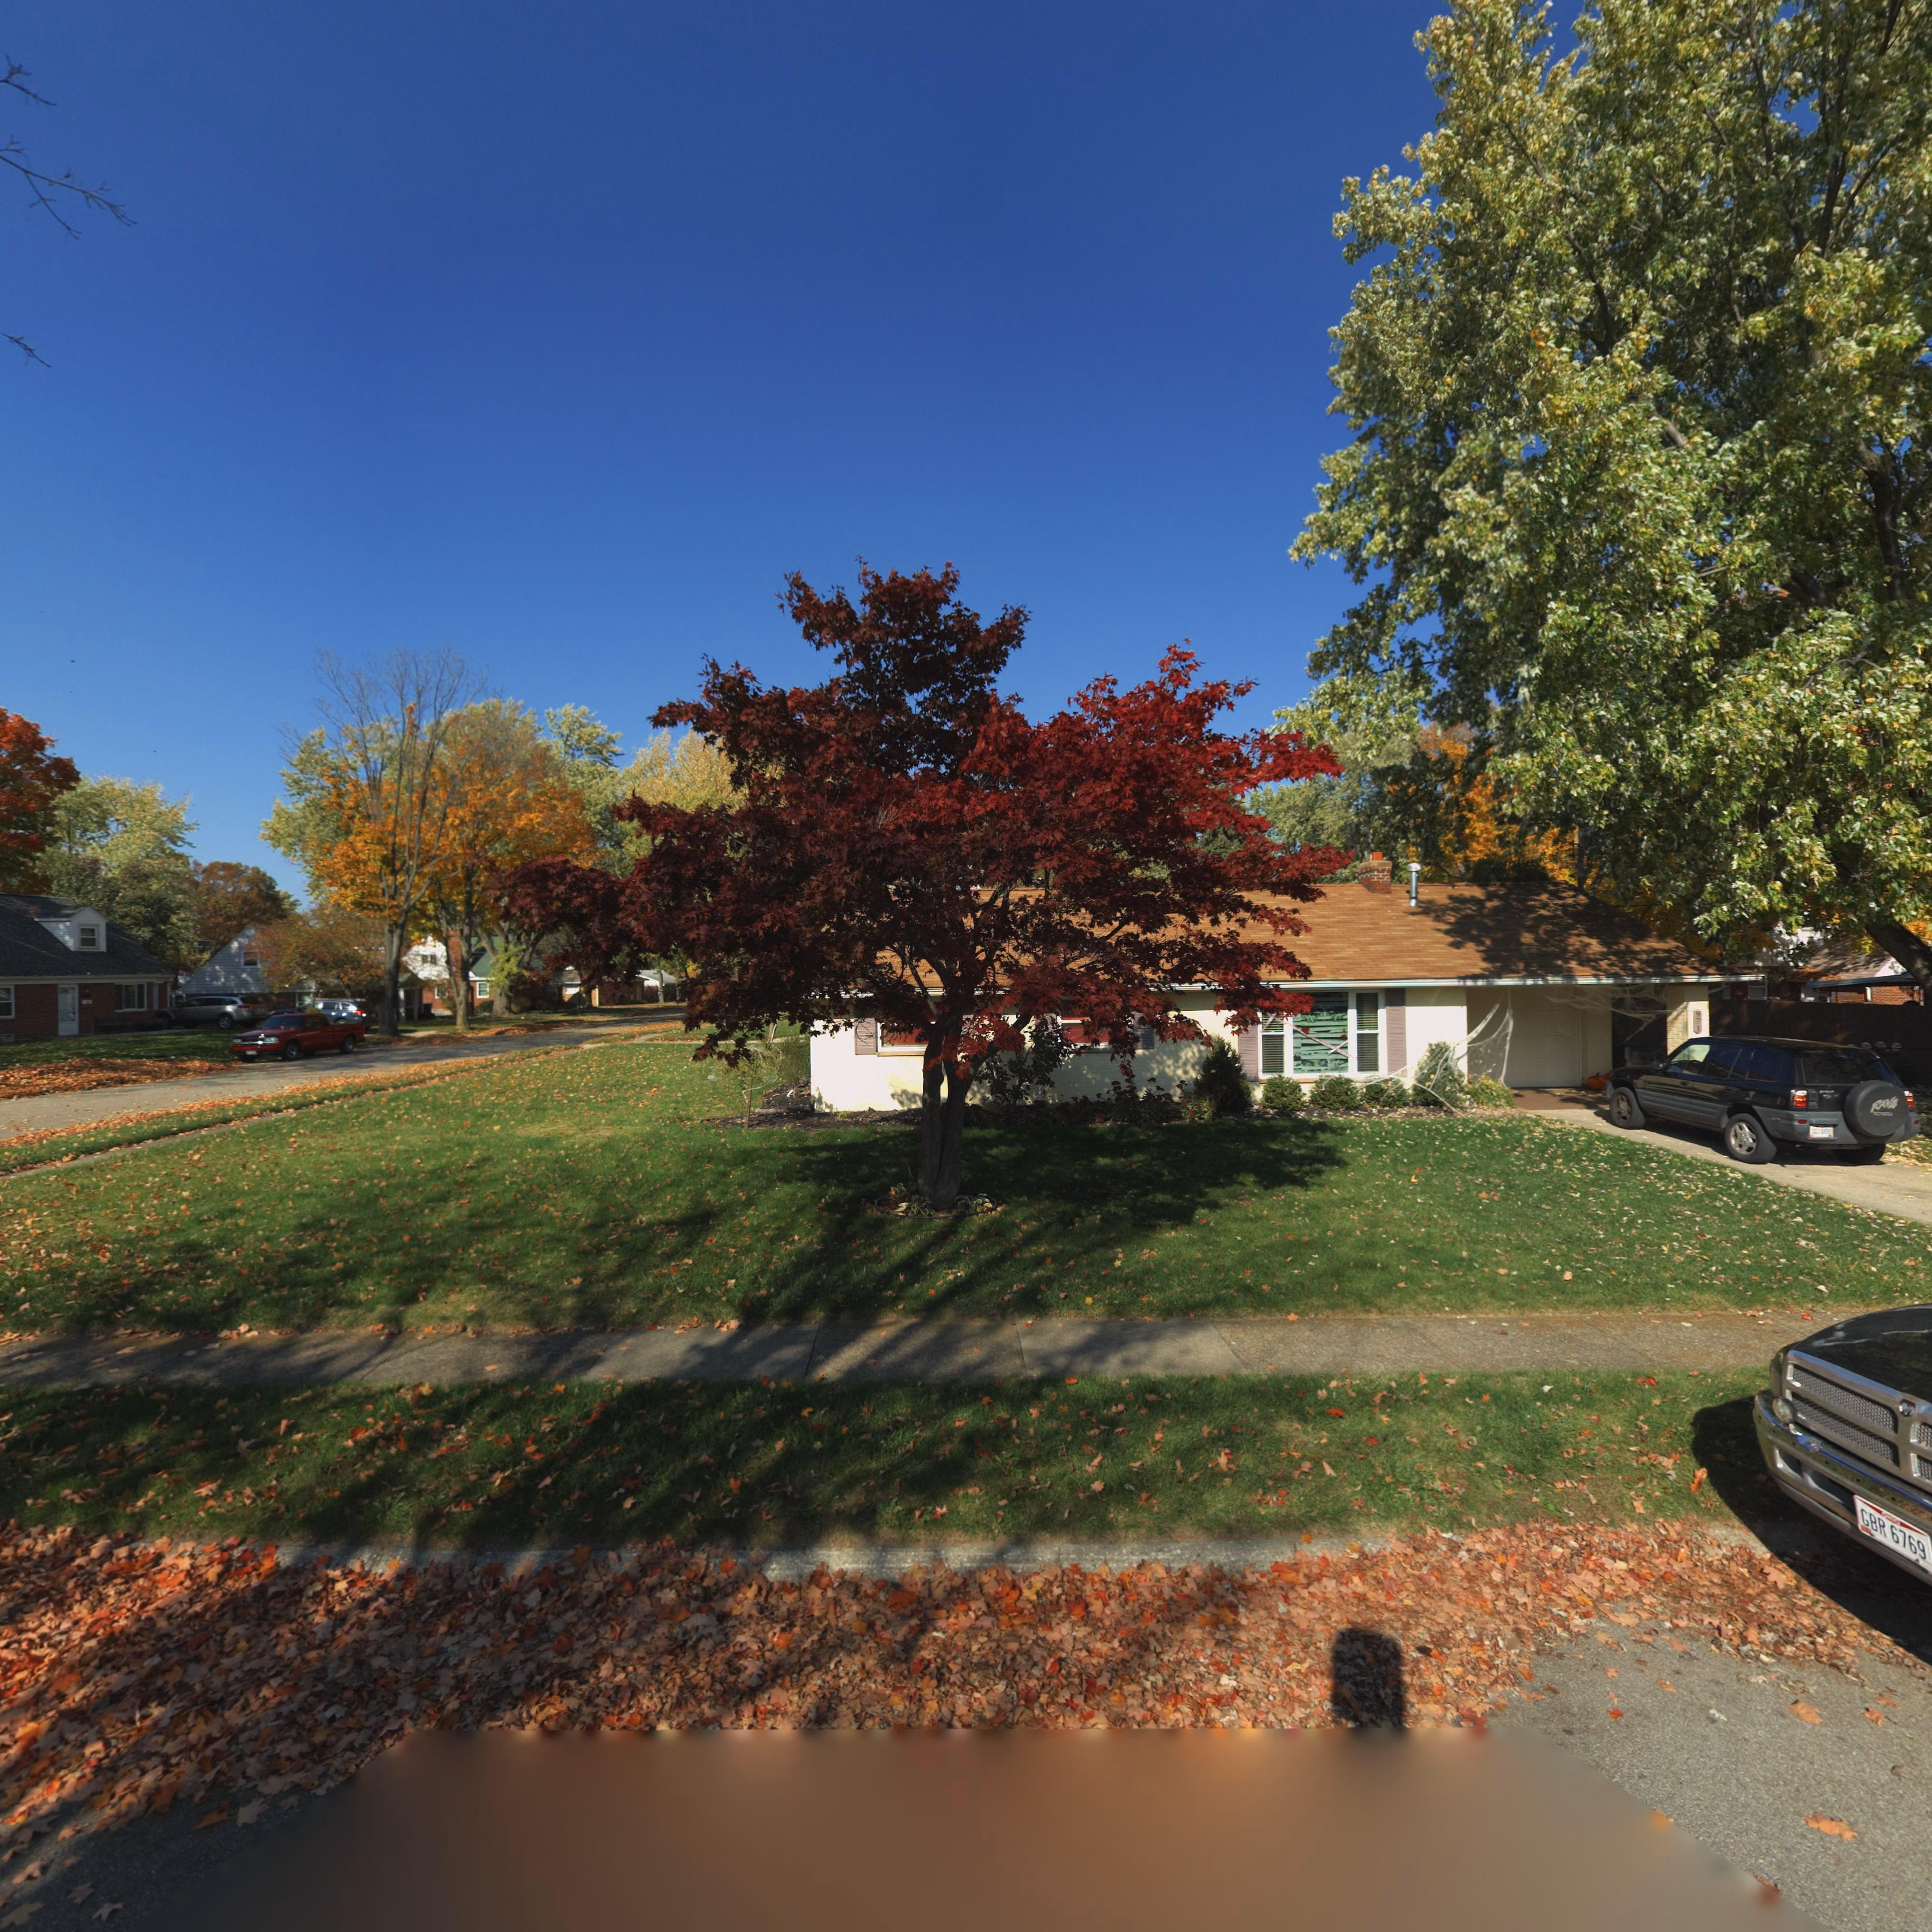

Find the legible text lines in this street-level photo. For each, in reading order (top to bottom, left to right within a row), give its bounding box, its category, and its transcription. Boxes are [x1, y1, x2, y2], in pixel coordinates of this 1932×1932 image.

[1695, 1010, 1701, 1033] StreetNumber: 971
[1870, 1095, 1901, 1113] None: RAV4
[1859, 1506, 1927, 1562] None: GBR 6769